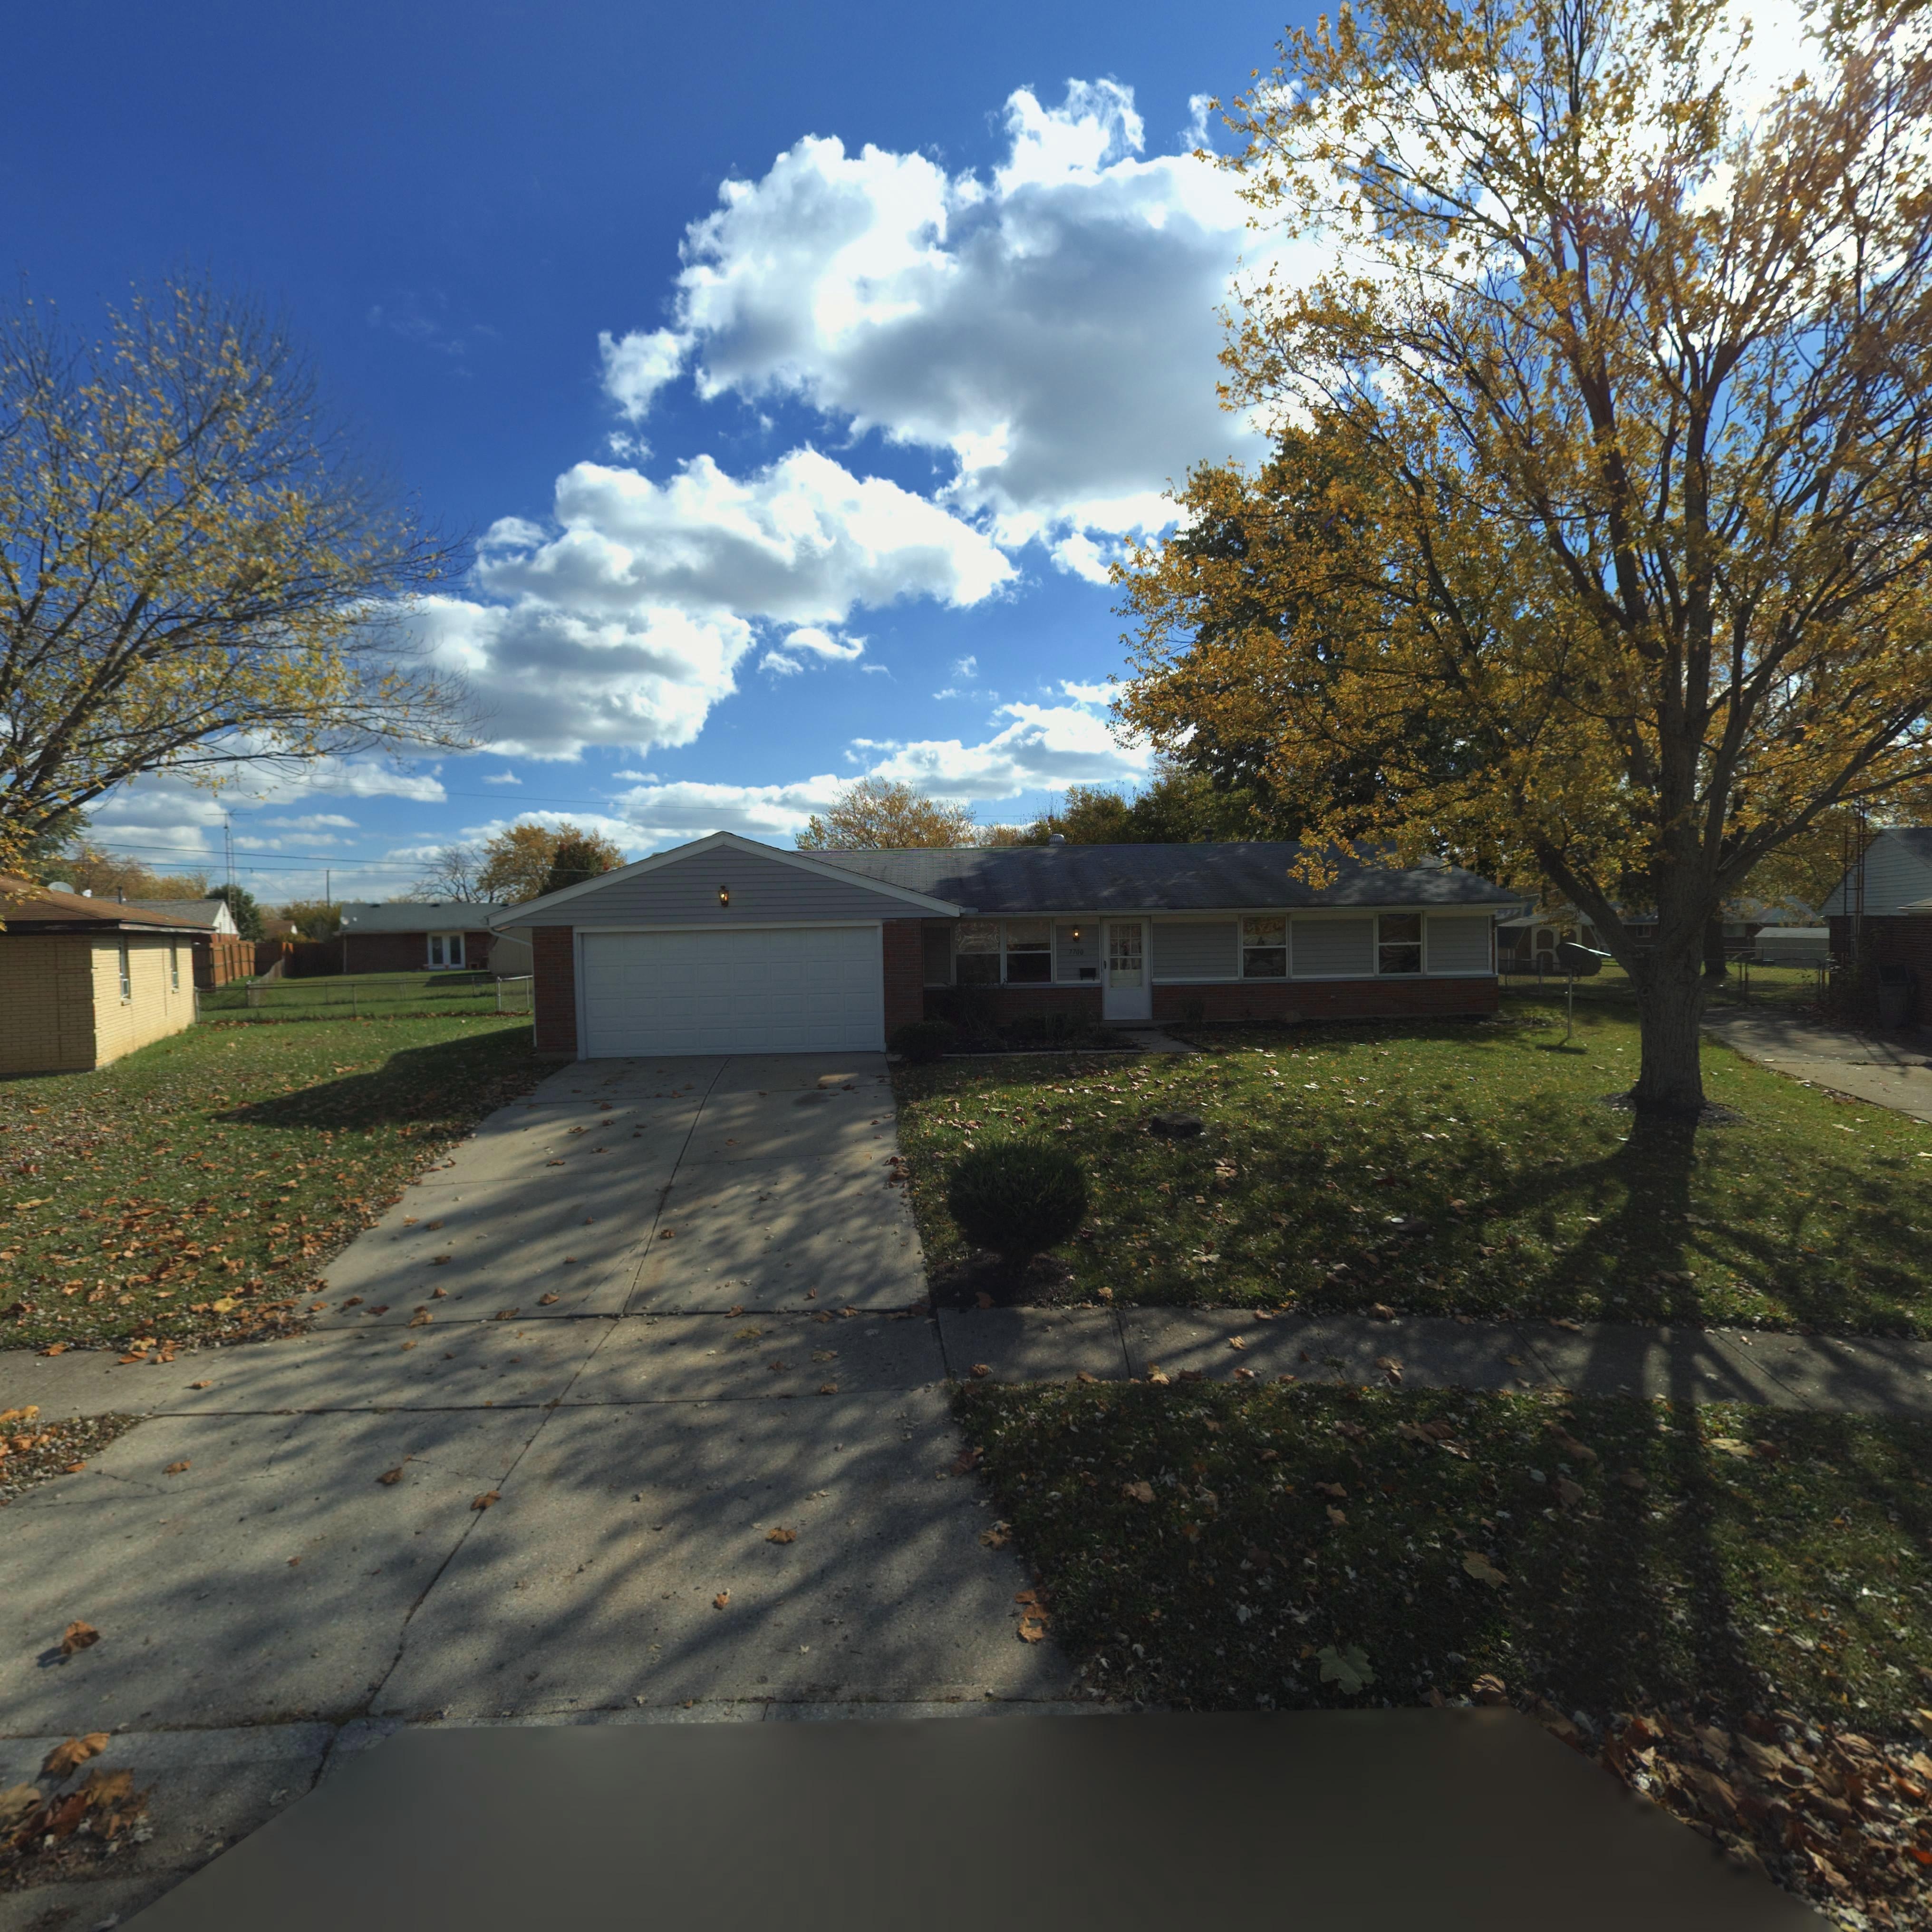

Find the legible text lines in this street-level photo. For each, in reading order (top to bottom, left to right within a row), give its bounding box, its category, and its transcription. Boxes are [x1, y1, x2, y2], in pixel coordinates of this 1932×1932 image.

[1068, 948, 1083, 956] StreetNumber: 7700